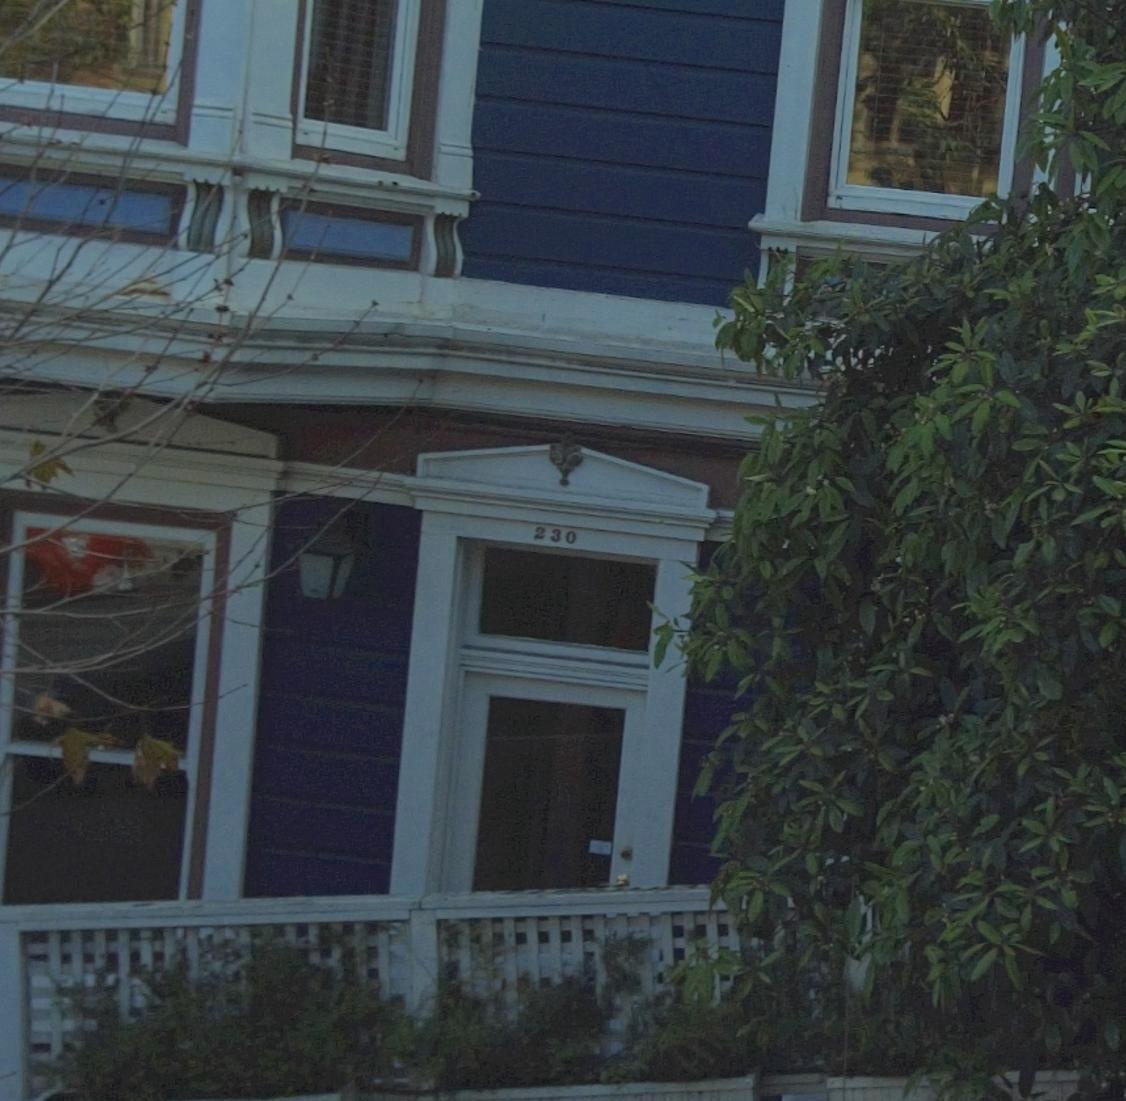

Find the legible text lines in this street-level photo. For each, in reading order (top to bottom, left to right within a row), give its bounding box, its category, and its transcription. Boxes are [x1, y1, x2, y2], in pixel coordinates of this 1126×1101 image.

[531, 523, 580, 548] StreetNumber: 230